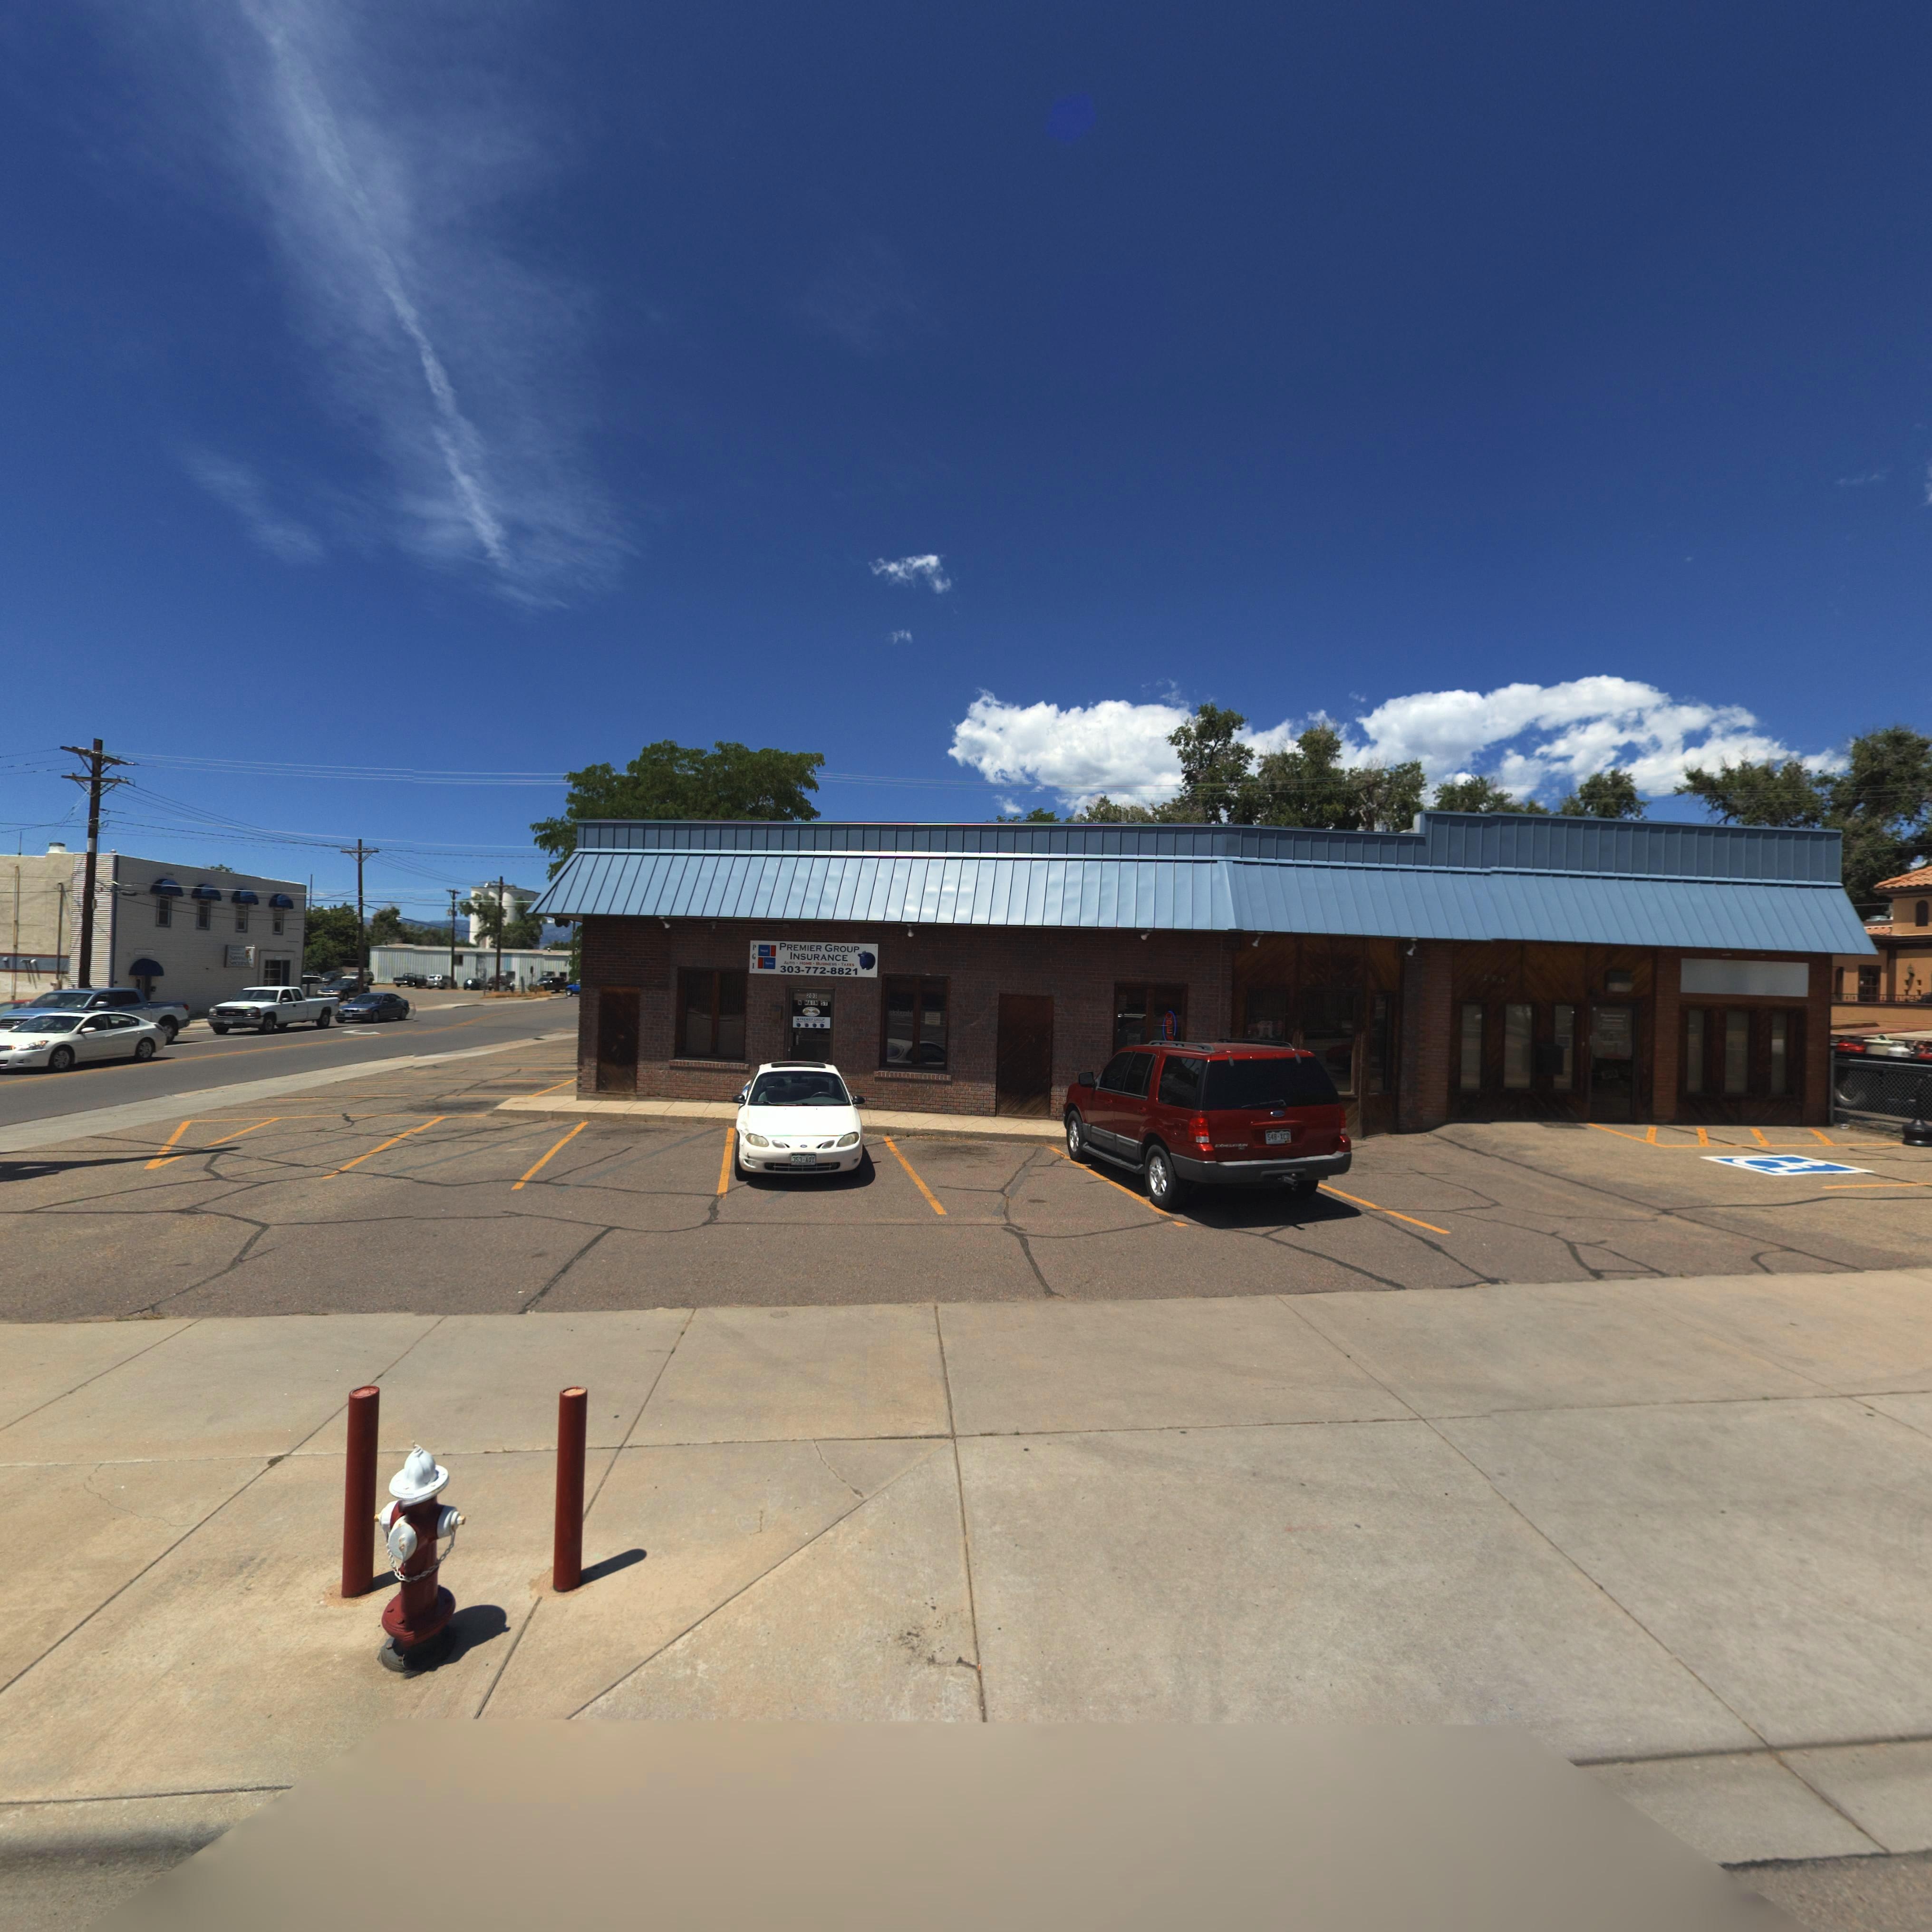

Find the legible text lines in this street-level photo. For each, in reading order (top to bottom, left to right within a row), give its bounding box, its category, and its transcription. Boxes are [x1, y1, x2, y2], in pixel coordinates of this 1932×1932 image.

[779, 942, 860, 953] BusinessName: PREMIER GROUP
[228, 953, 248, 960] BusinessName: Savvy
[751, 944, 756, 969] BusinessName: PGI
[789, 951, 848, 961] BusinessName: INSURANCE
[228, 959, 251, 966] BusinessName: Seconds
[1481, 972, 1506, 985] StreetNumber: 205
[807, 993, 817, 998] StreetNumber: 203
[798, 999, 828, 1006] StreetName: N MAIN ST